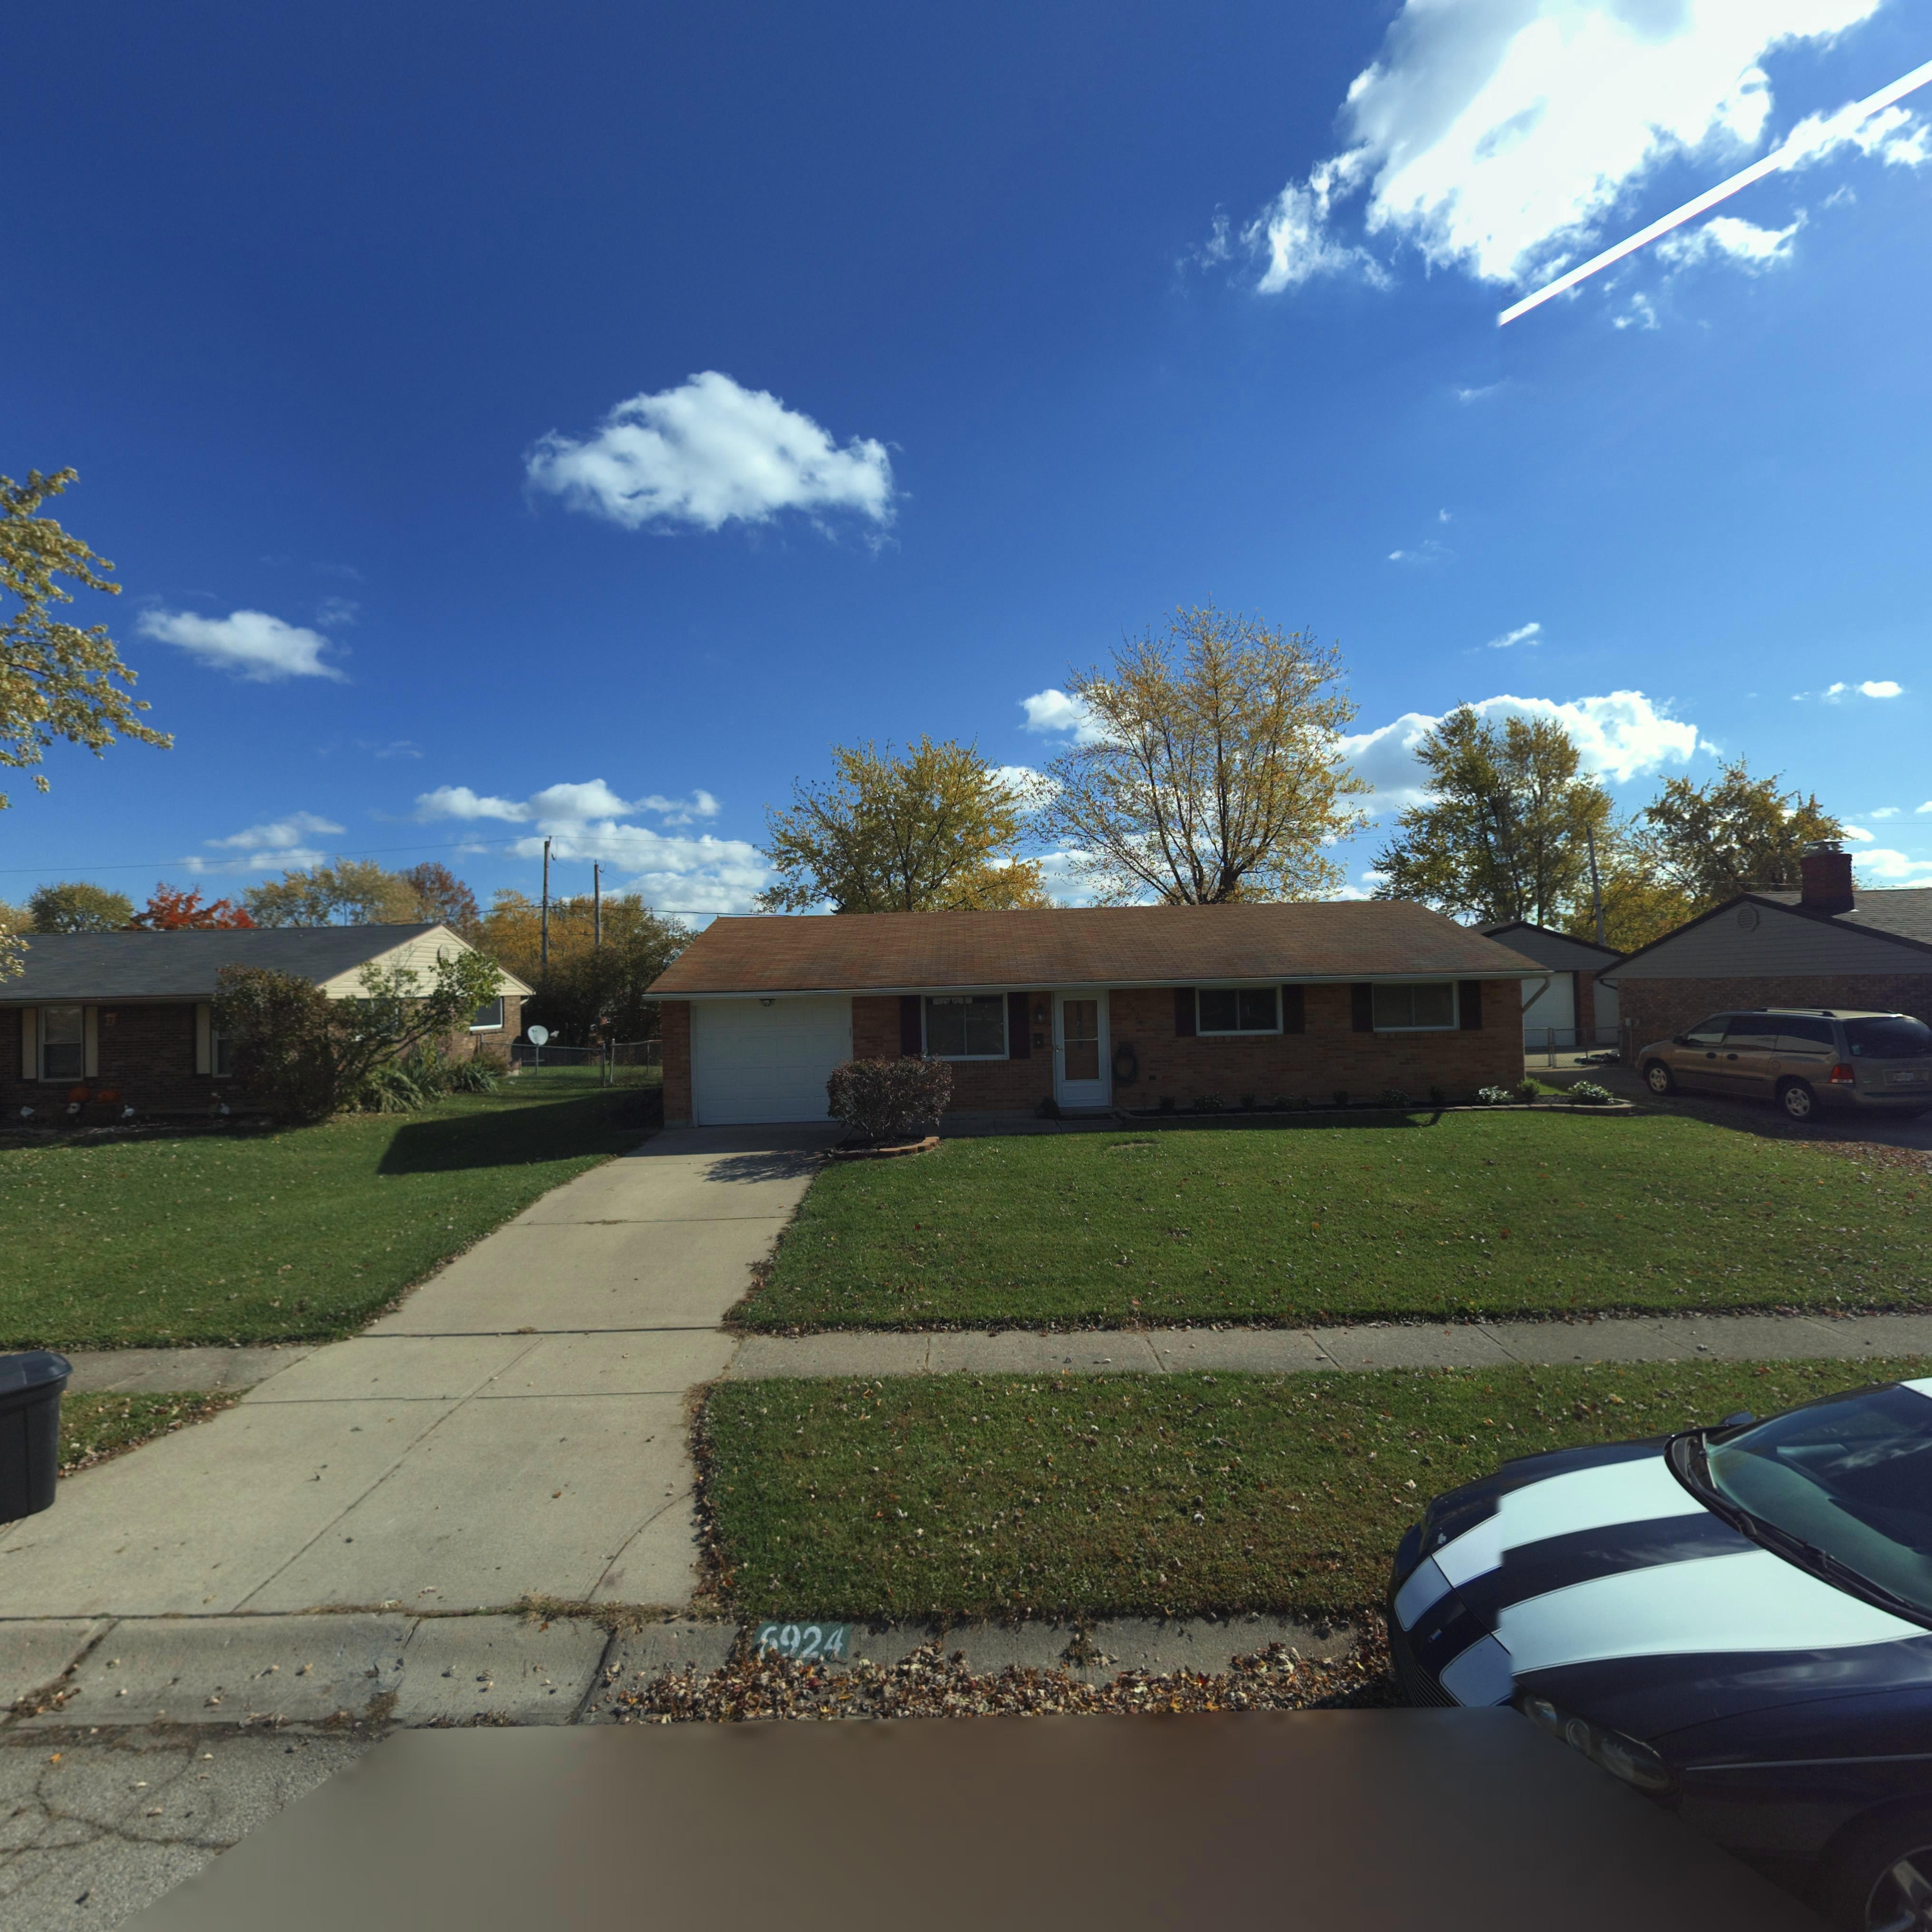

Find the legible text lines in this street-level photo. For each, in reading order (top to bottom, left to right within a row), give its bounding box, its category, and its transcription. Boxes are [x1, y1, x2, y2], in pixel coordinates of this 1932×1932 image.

[1126, 999, 1144, 1026] StreetNumber: 692*
[755, 1623, 847, 1663] StreetNumber: *924